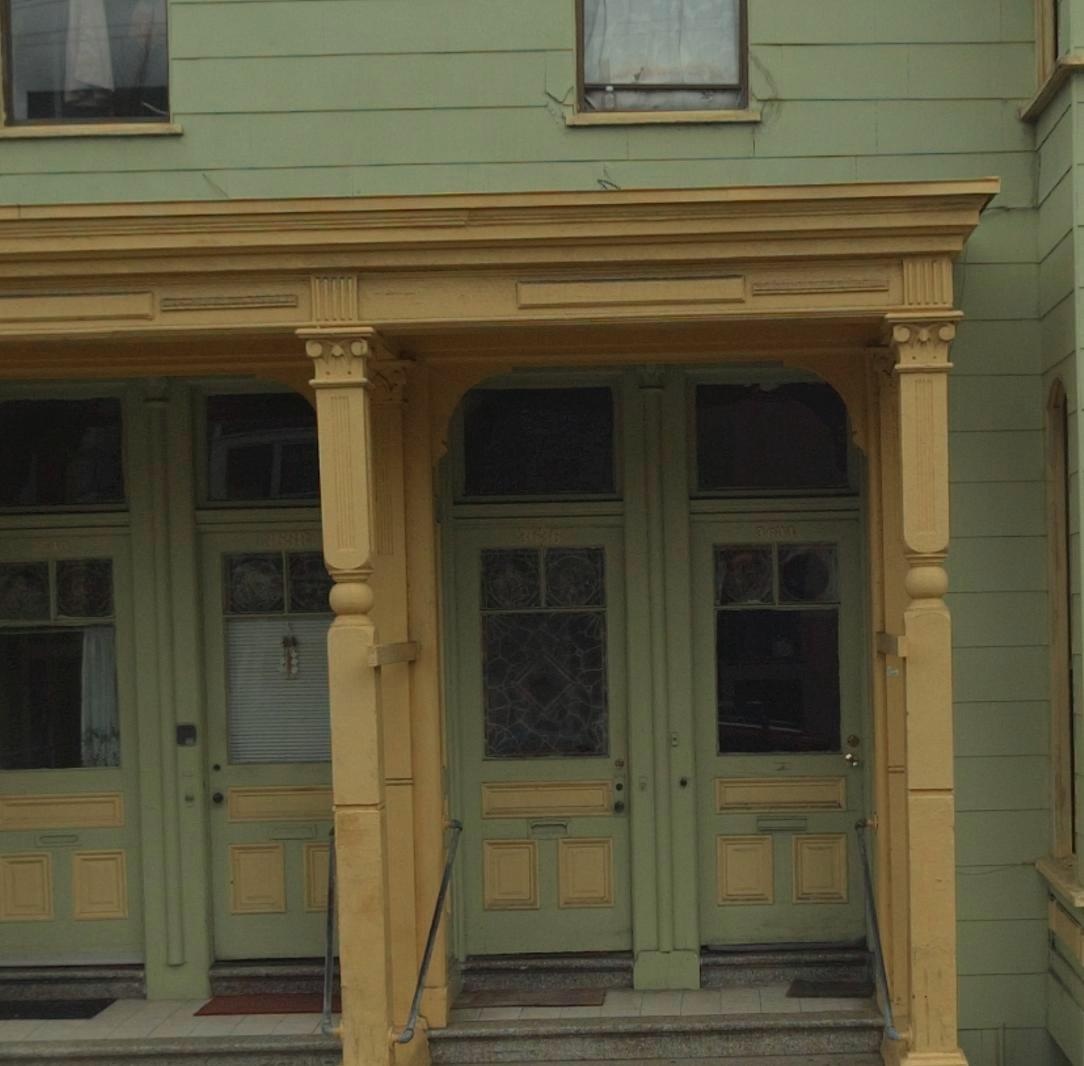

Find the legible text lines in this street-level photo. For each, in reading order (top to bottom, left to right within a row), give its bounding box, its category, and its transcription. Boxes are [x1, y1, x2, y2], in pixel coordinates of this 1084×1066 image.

[27, 539, 71, 553] StreetNumber: 3640
[258, 530, 312, 549] StreetNumber: 3638
[517, 527, 562, 546] StreetNumber: 3636
[753, 526, 798, 539] StreetNumber: 3634